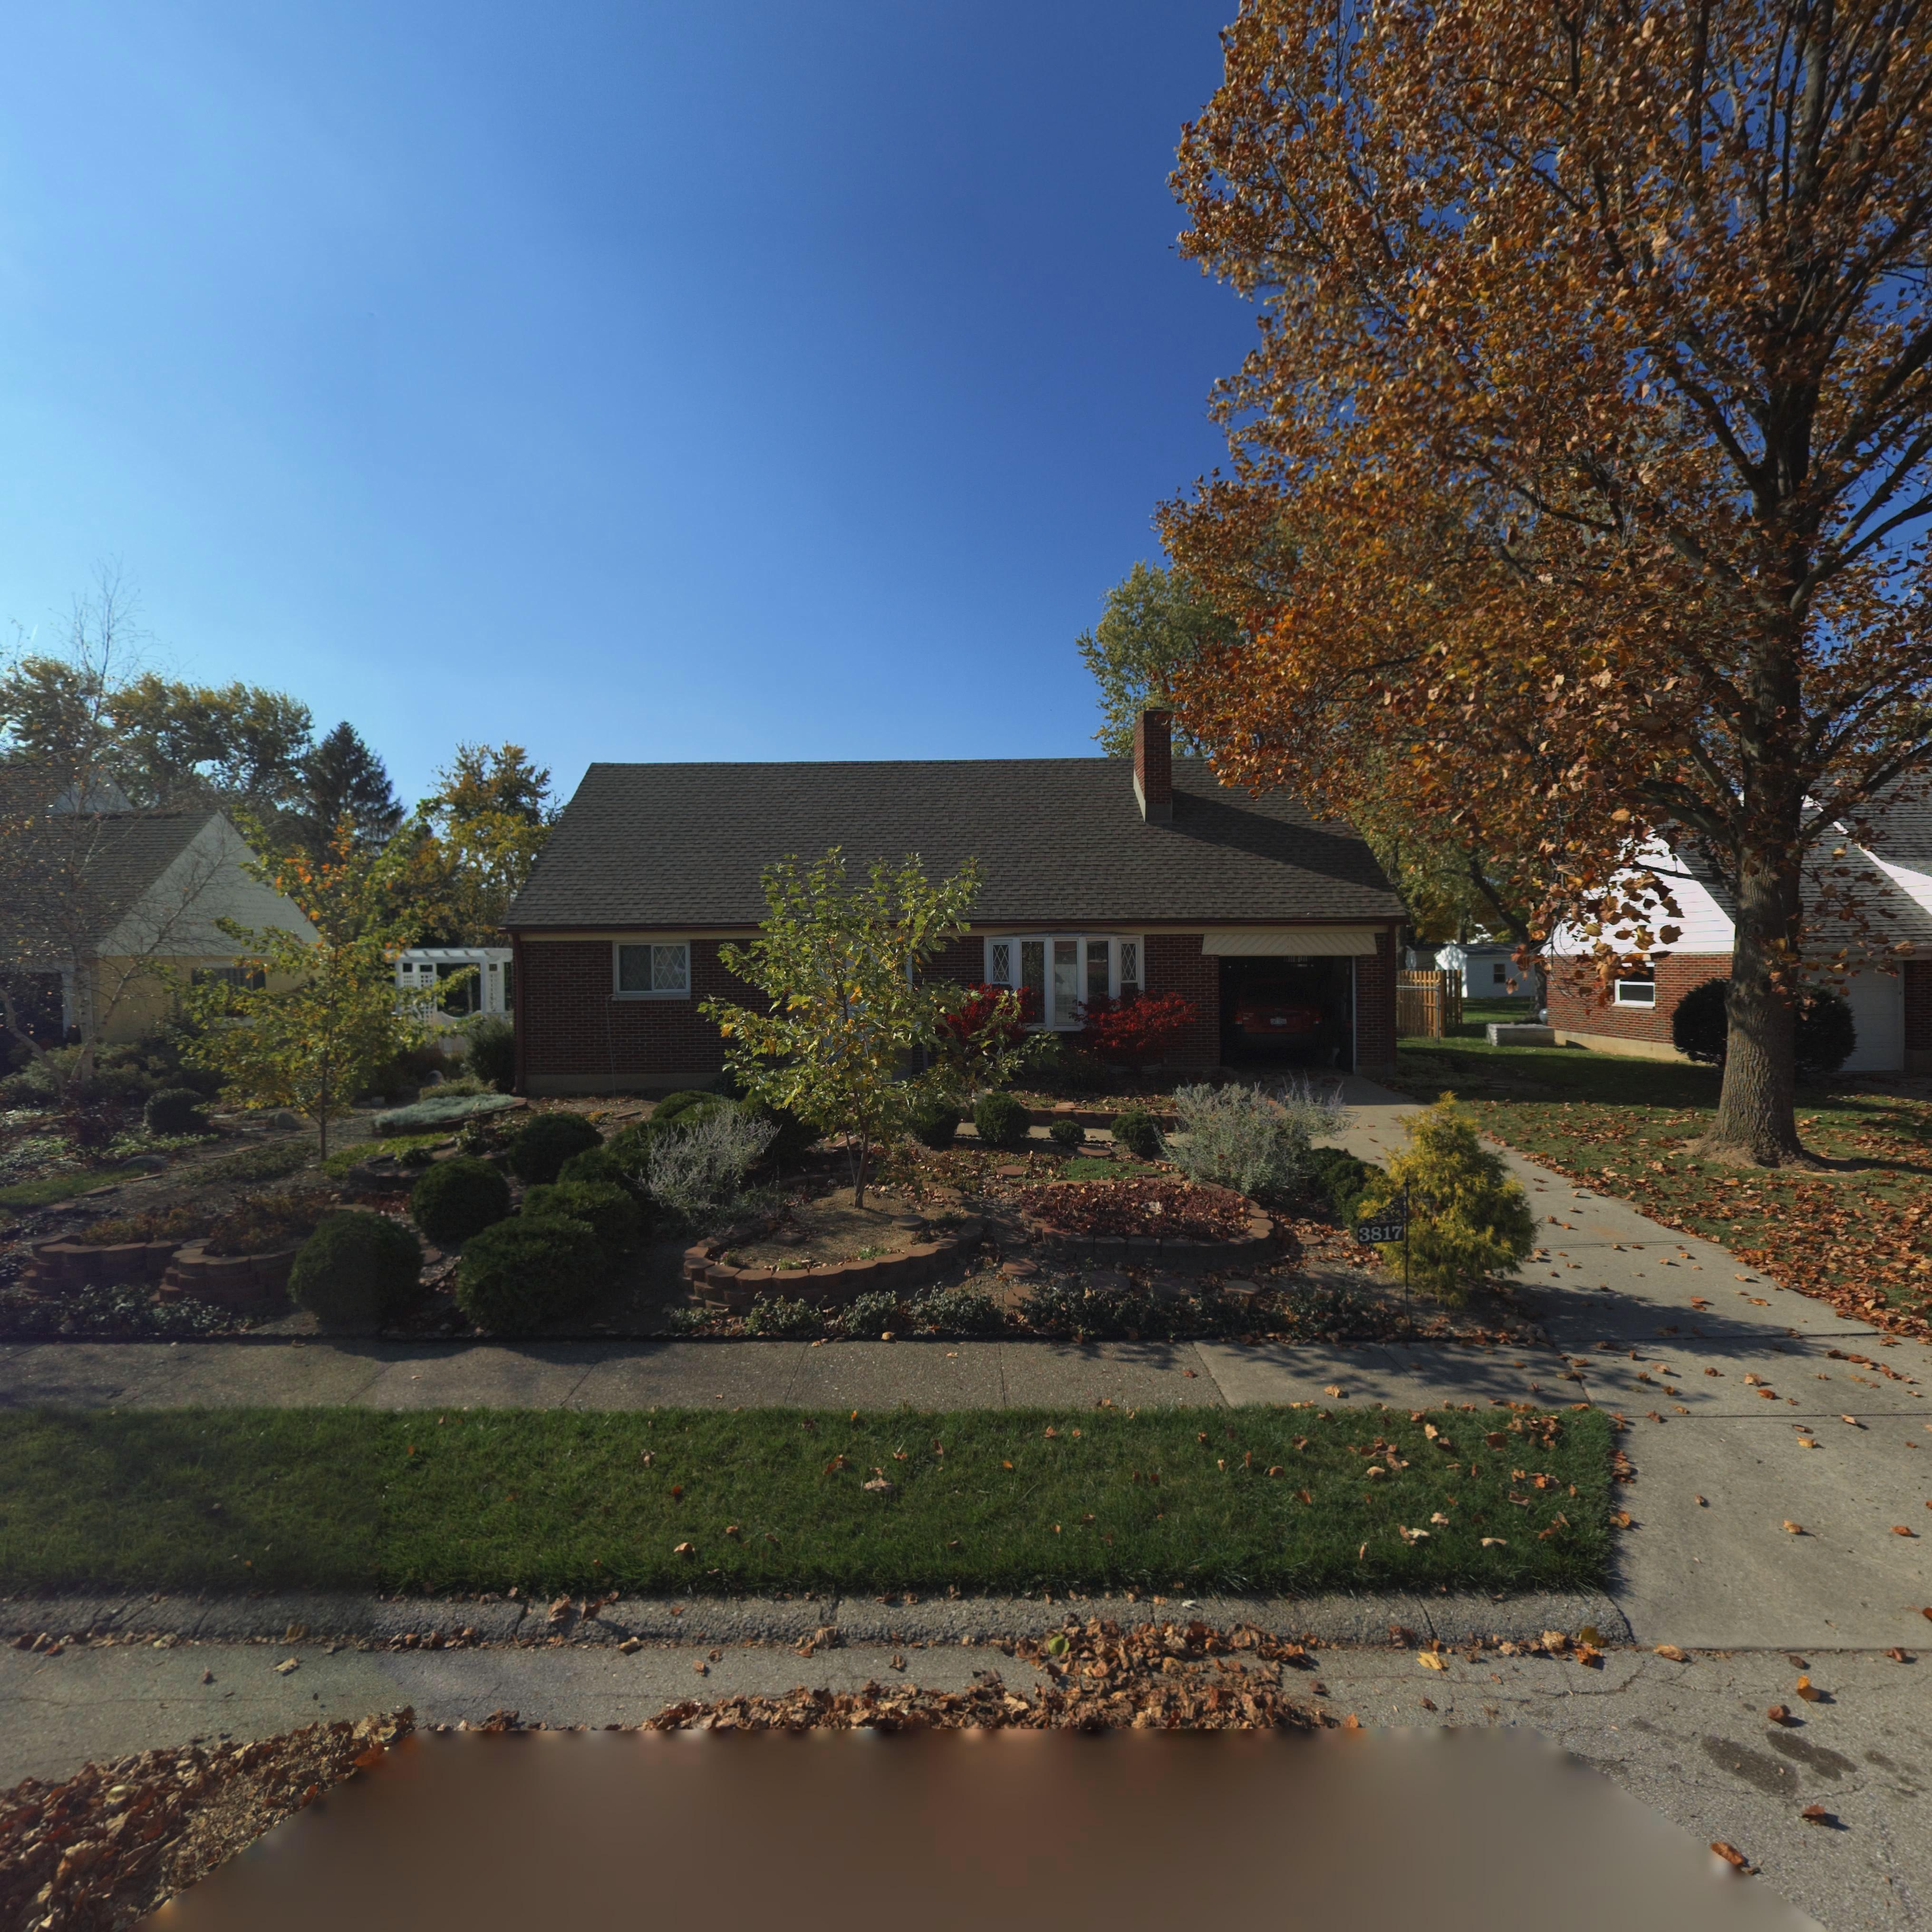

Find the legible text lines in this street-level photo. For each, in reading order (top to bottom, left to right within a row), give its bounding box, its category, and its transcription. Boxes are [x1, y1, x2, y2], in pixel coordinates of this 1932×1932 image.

[1358, 1225, 1404, 1242] StreetNumber: 3817